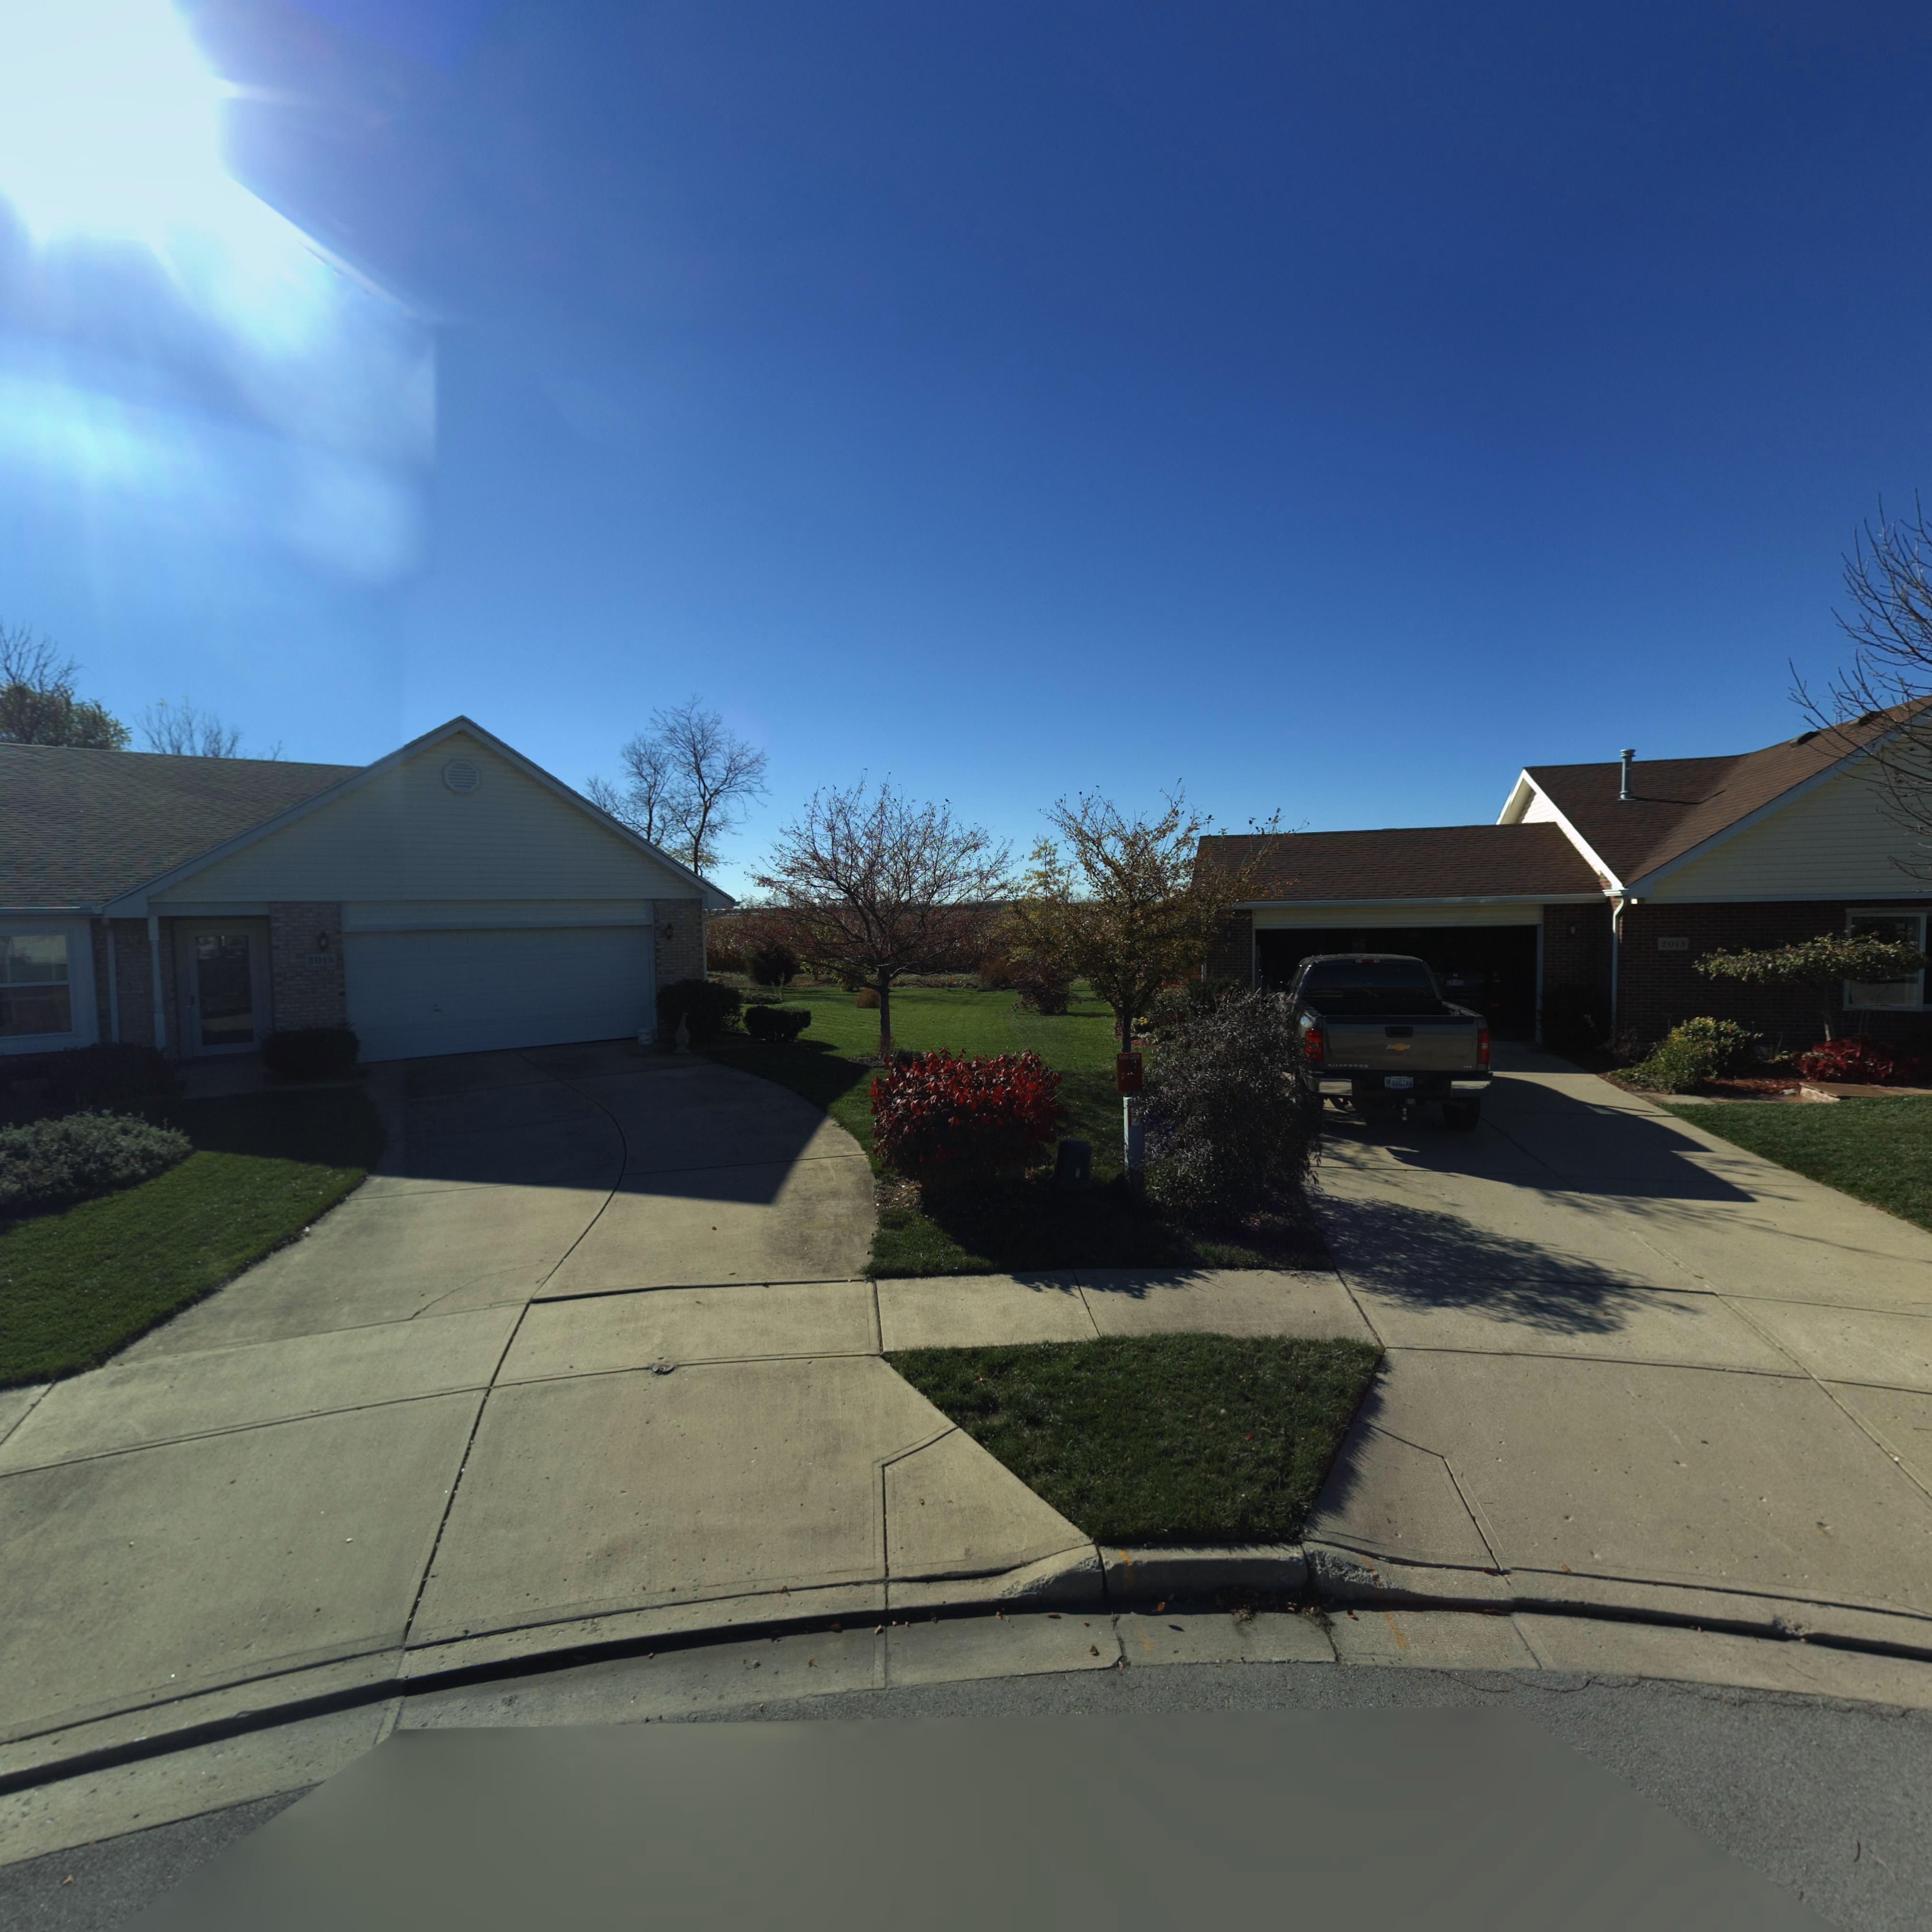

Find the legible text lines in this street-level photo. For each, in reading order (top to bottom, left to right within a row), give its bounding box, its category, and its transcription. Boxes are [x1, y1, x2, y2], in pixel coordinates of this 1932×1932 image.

[1661, 939, 1686, 949] StreetNumber: 2013
[307, 955, 335, 966] StreetNumber: 201*